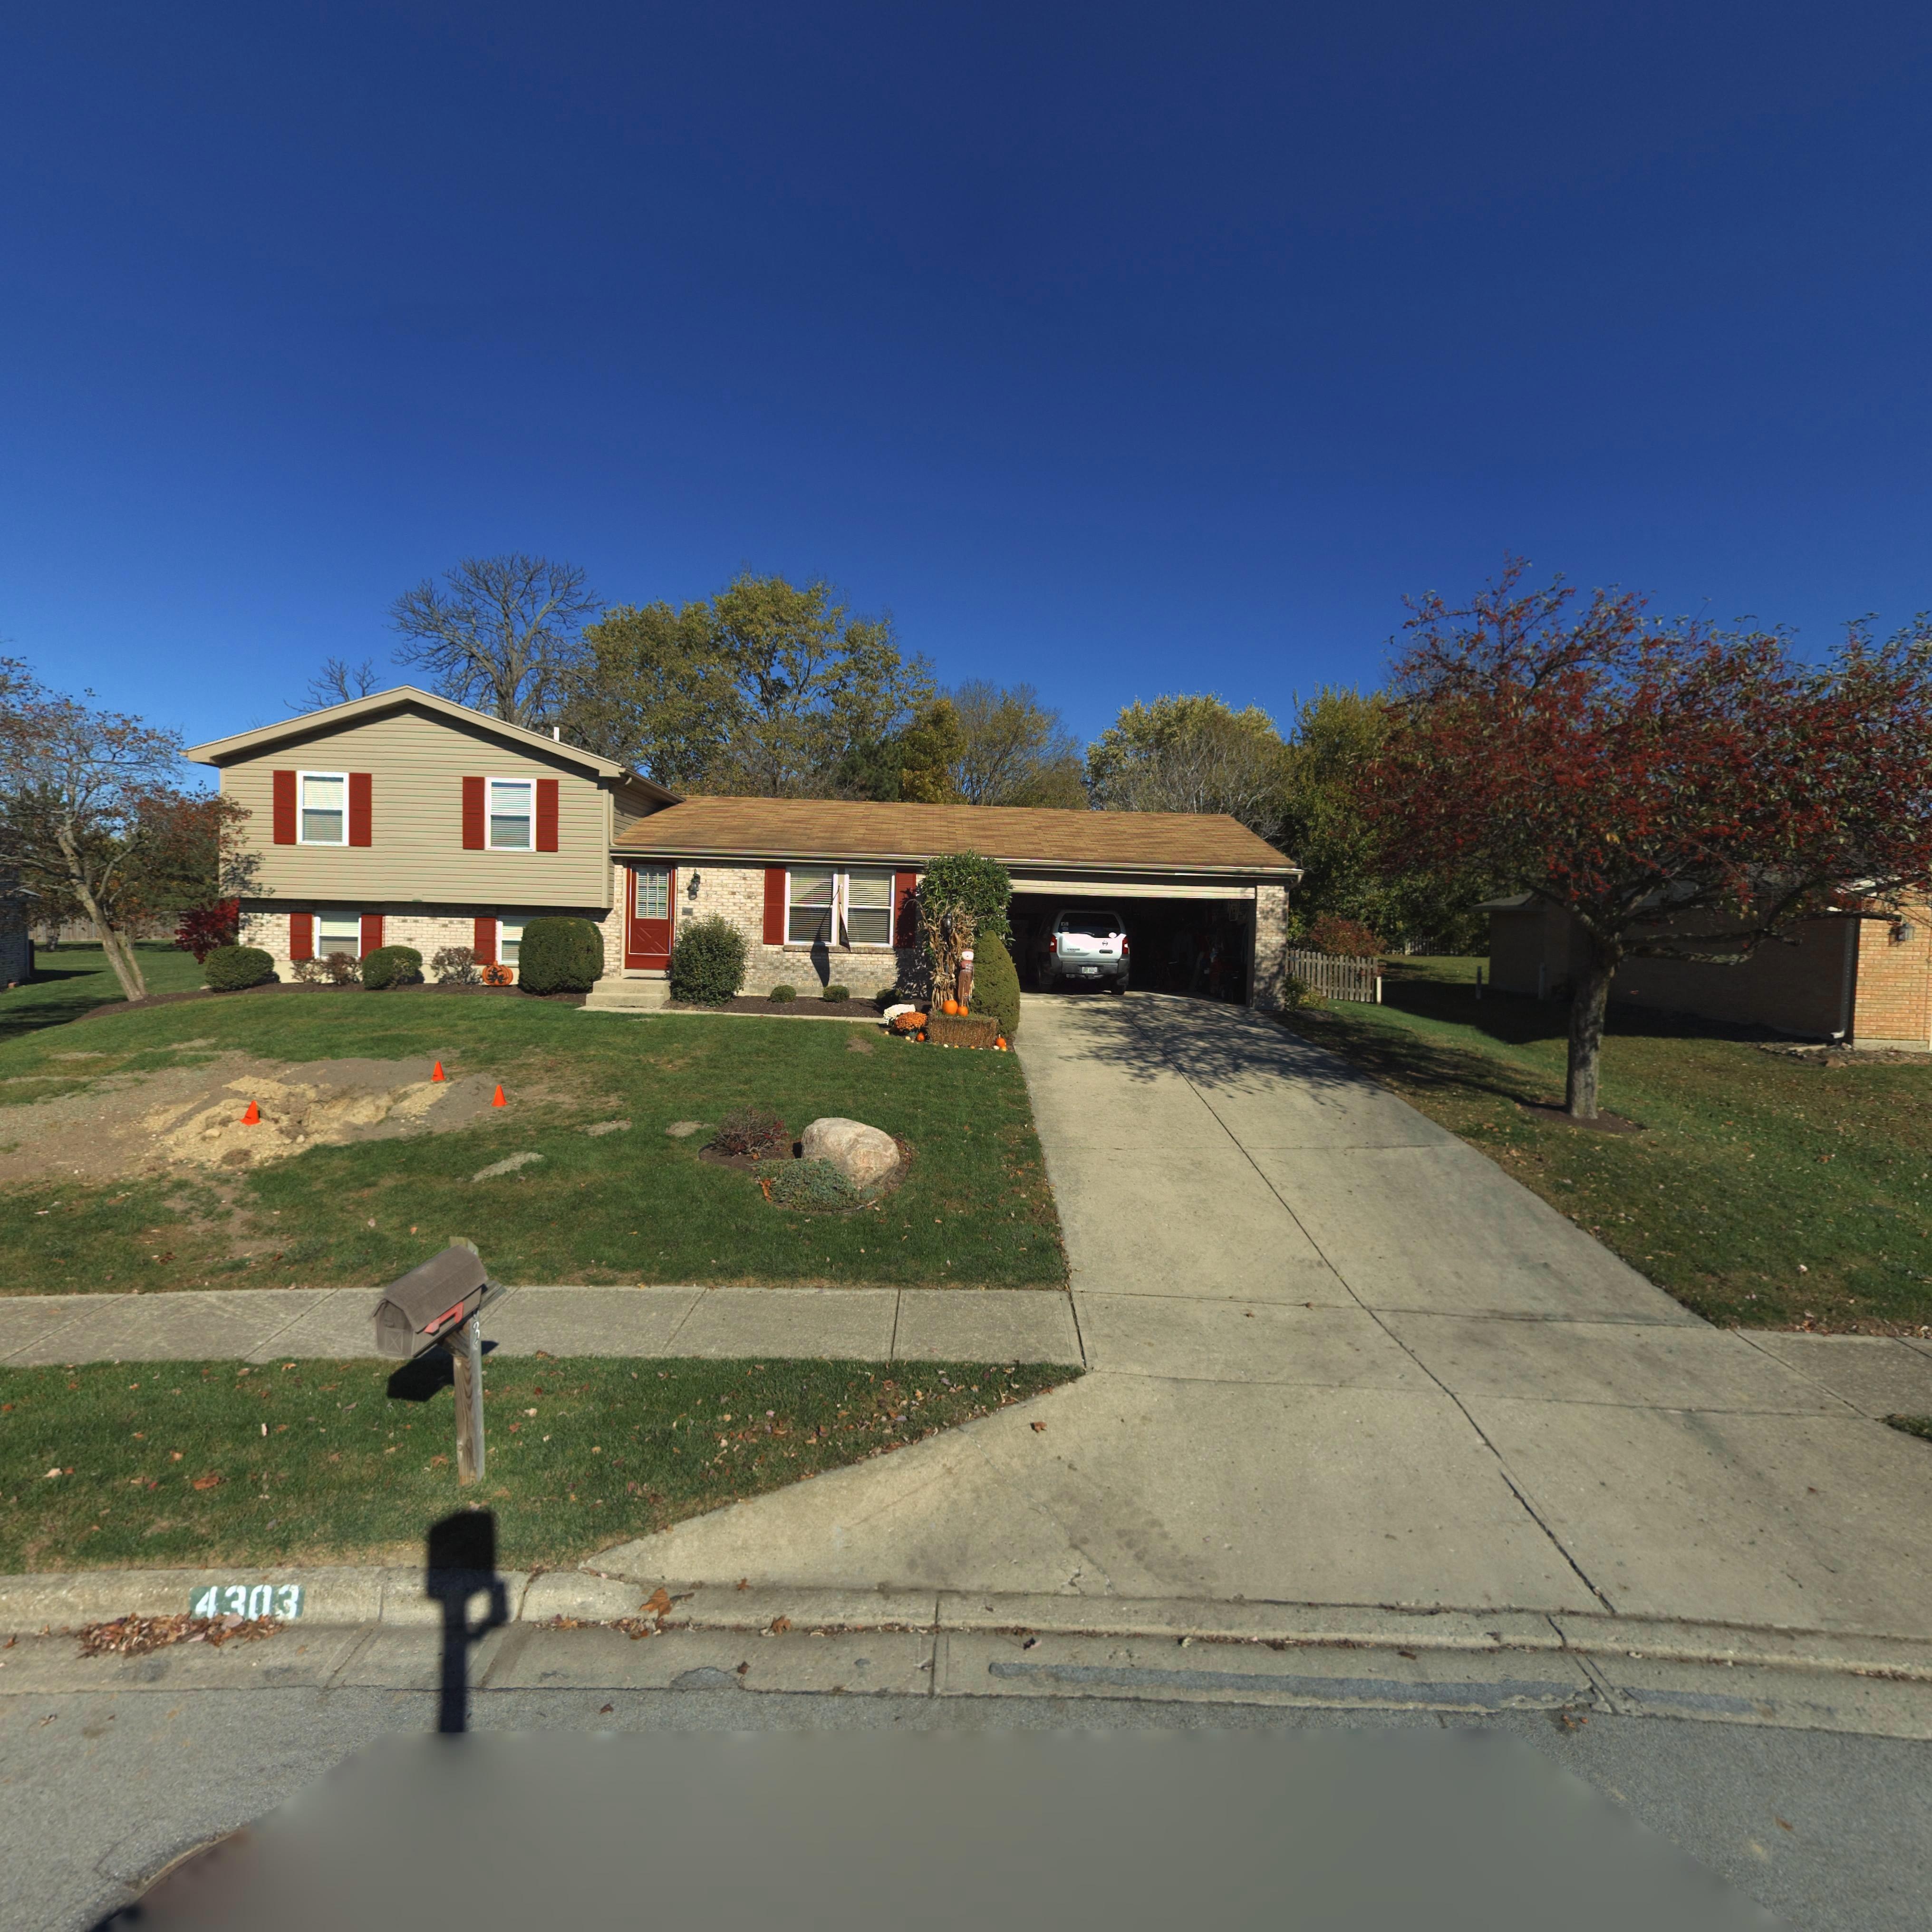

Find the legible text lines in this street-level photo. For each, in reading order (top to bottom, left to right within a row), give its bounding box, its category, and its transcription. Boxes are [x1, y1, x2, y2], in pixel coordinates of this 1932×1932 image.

[471, 1320, 481, 1346] StreetNumber: 3
[194, 1584, 300, 1622] StreetNumber: 4303